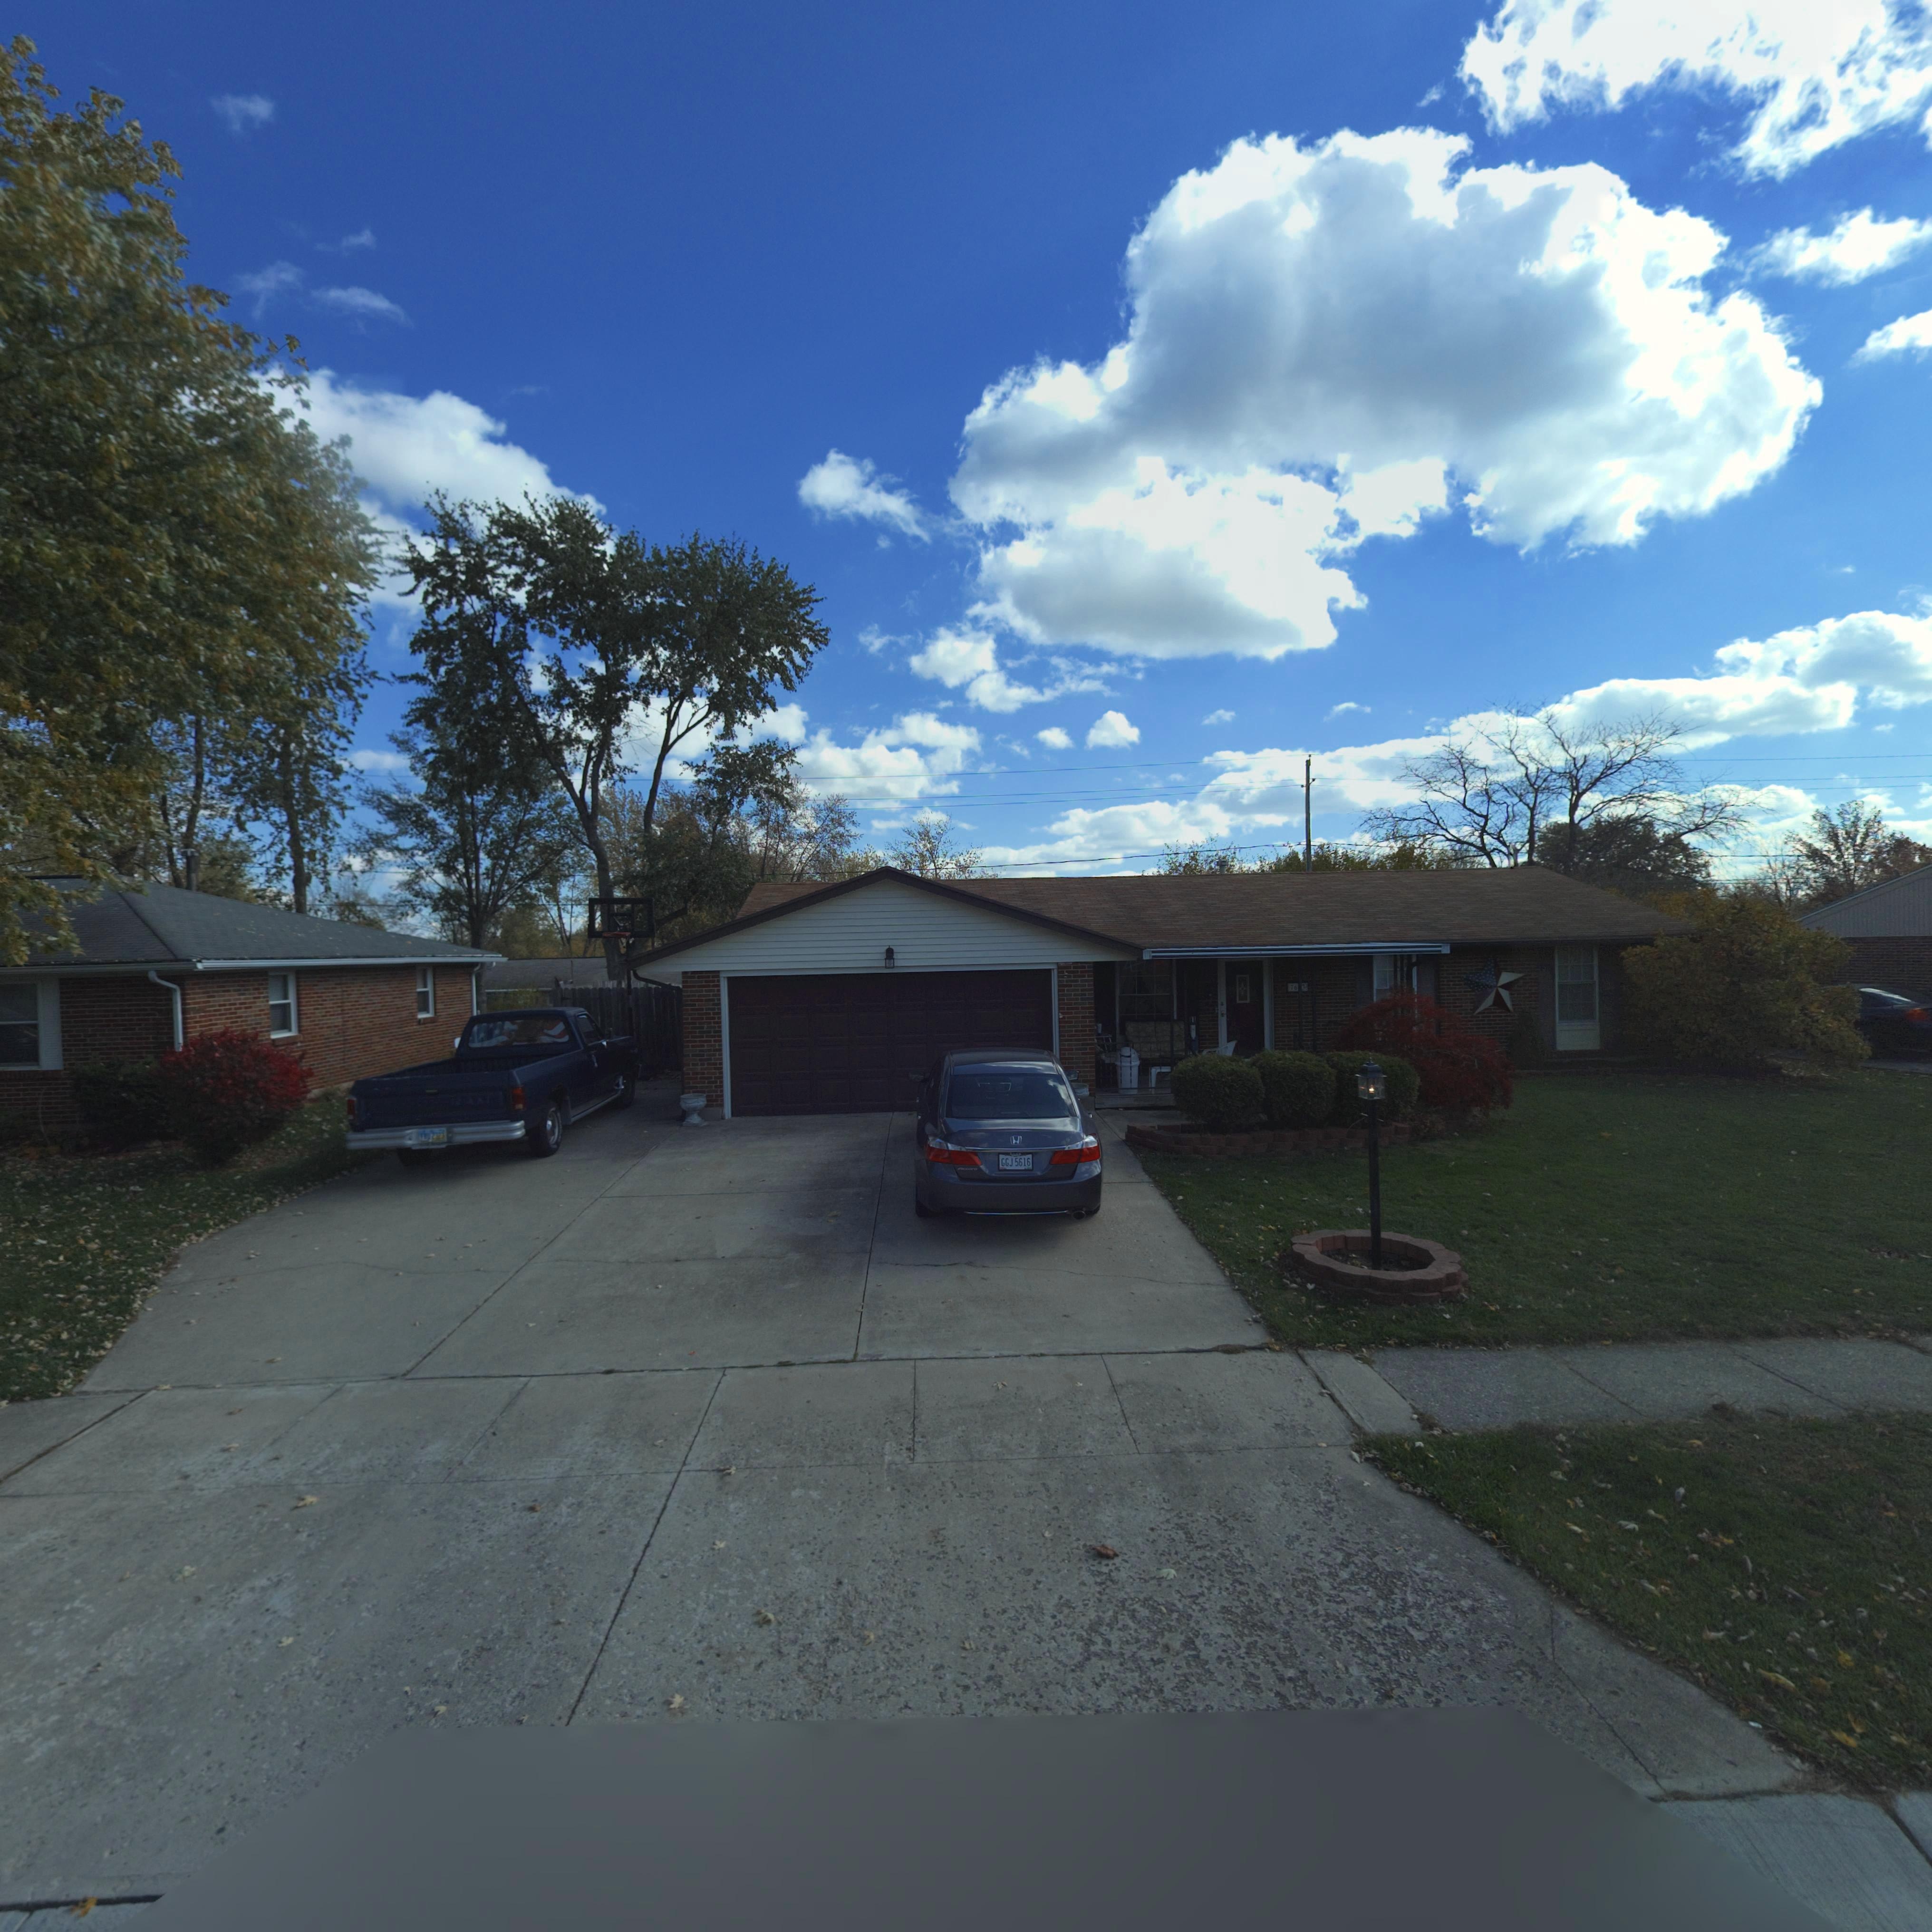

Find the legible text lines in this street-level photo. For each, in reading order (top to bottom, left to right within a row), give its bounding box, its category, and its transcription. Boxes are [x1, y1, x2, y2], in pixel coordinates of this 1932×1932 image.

[1290, 984, 1306, 991] StreetNumber: 76*3